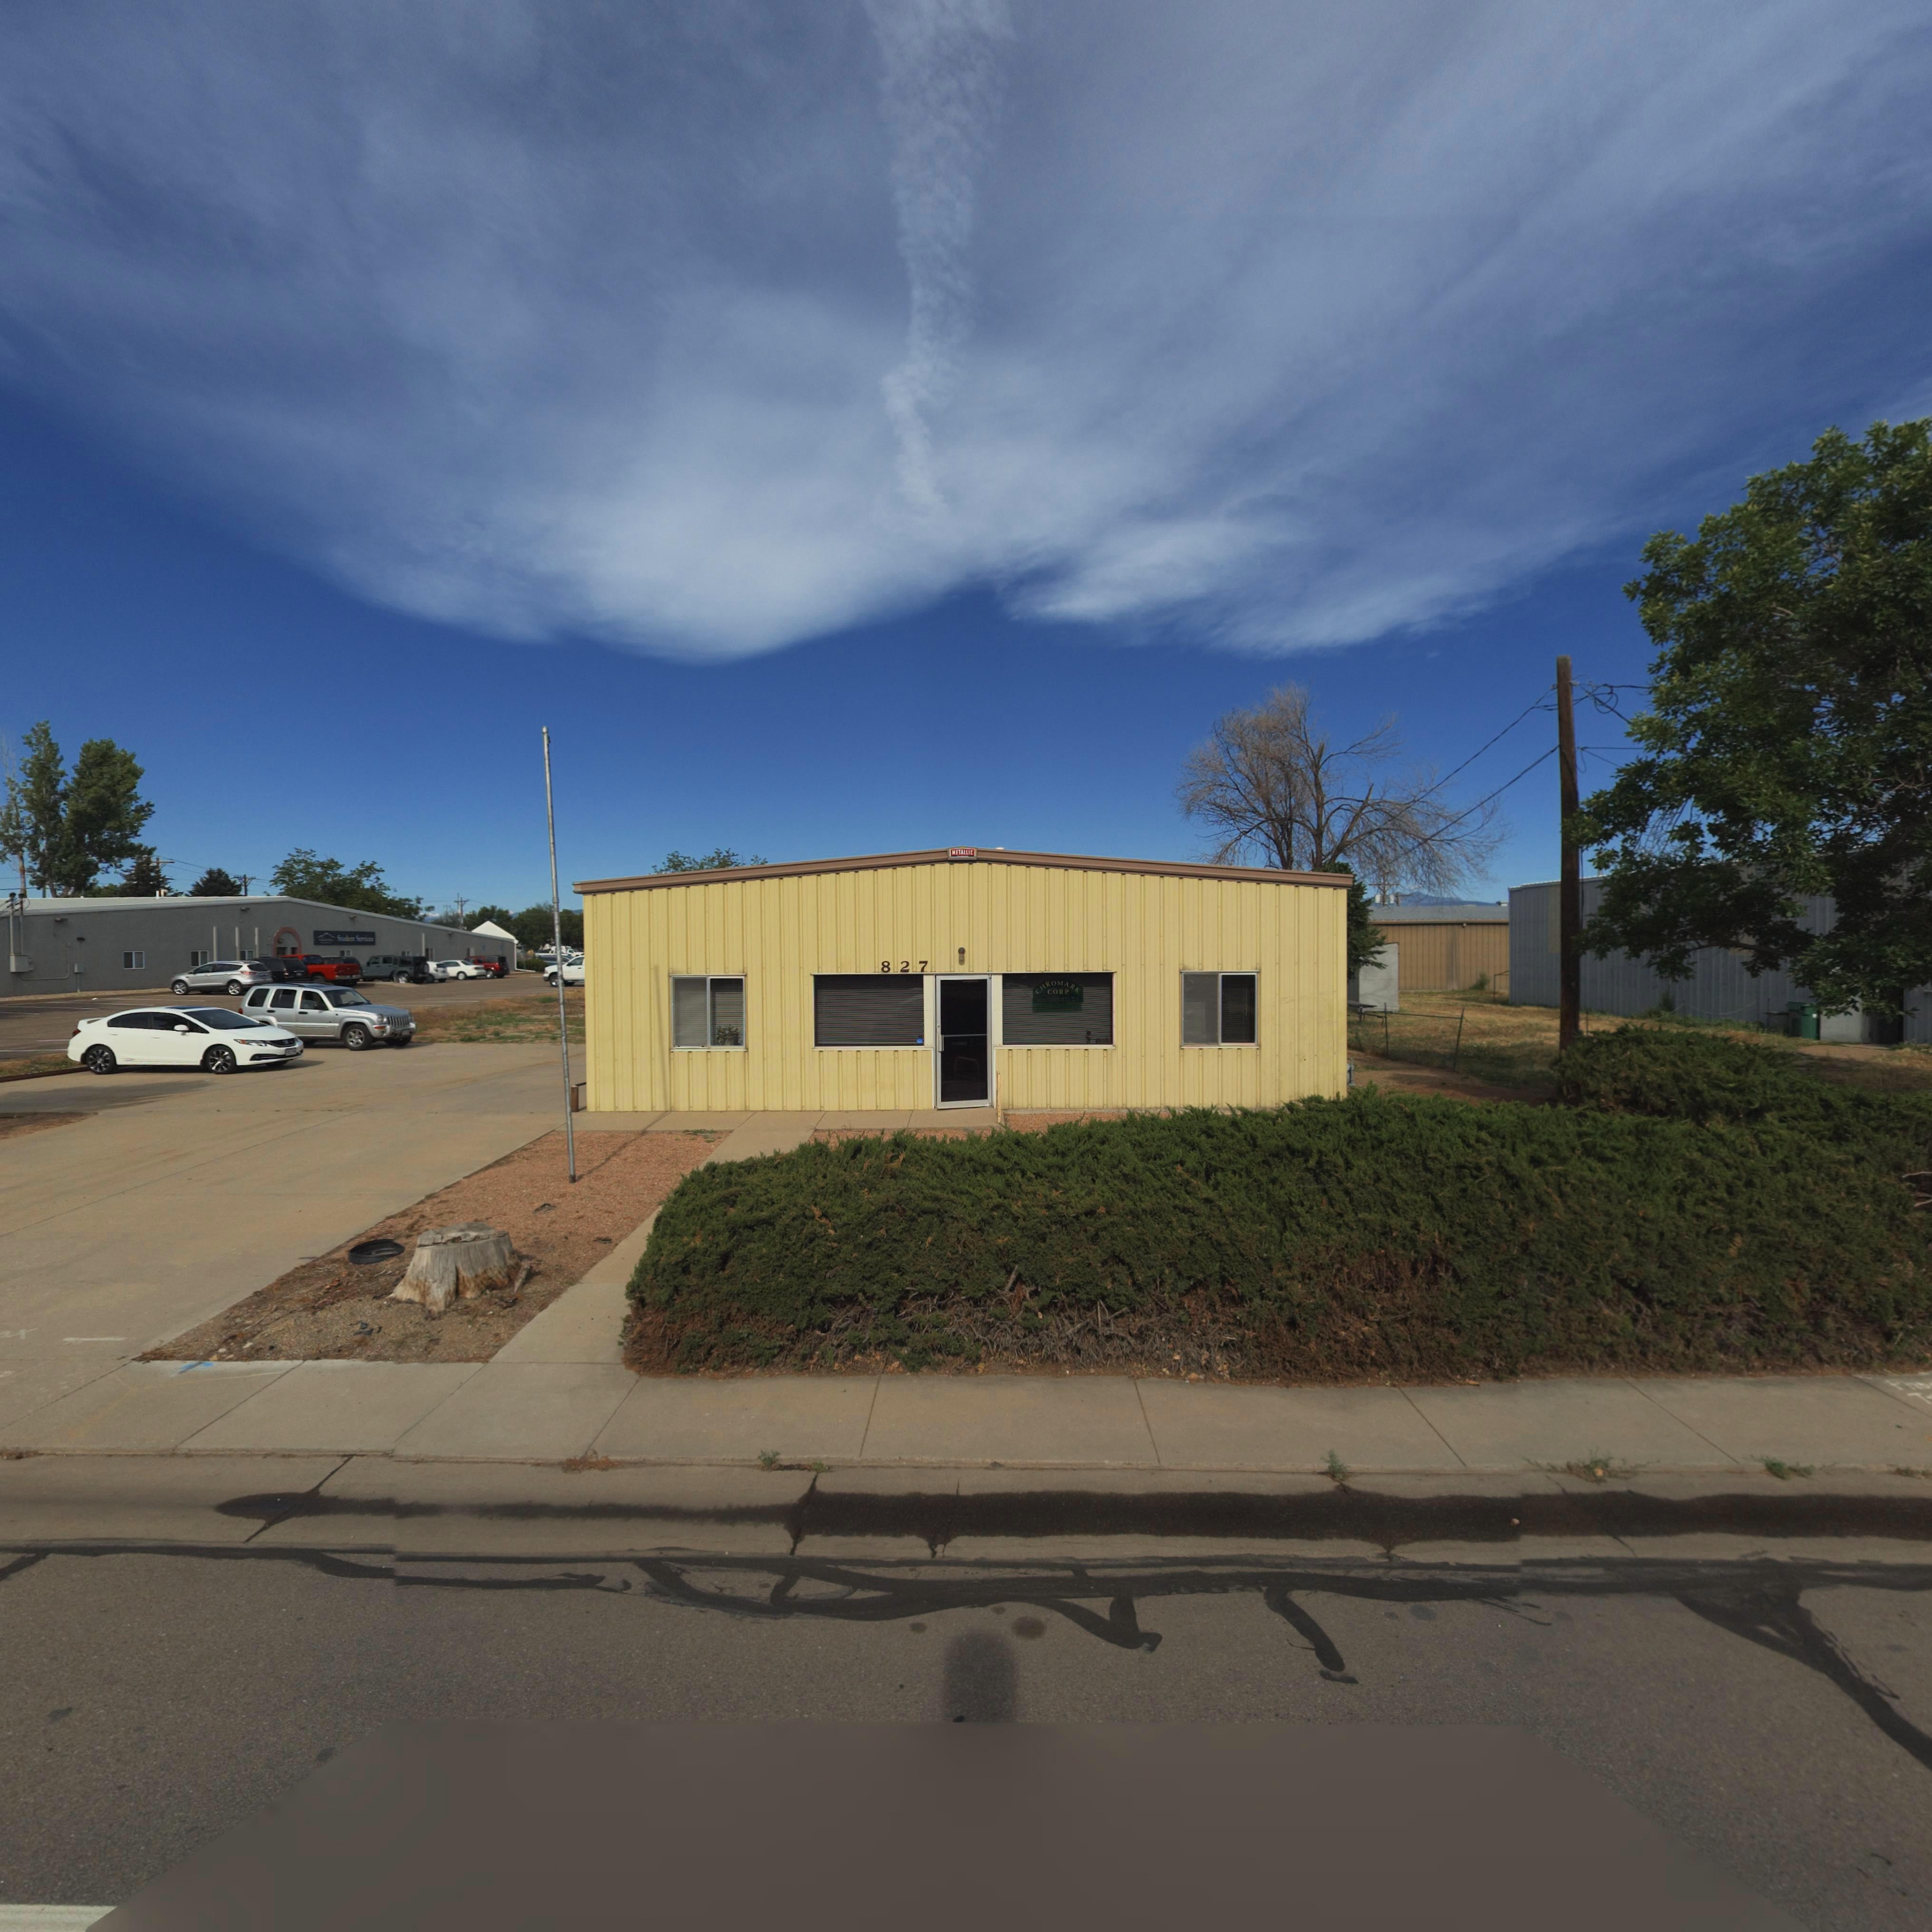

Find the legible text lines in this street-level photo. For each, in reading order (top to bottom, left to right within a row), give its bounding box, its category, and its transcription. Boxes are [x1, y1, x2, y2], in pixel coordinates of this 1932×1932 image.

[880, 960, 928, 973] StreetNumber: 827
[1033, 980, 1082, 996] BusinessName: CHROMARK
[1047, 988, 1070, 995] BusinessName: CORP